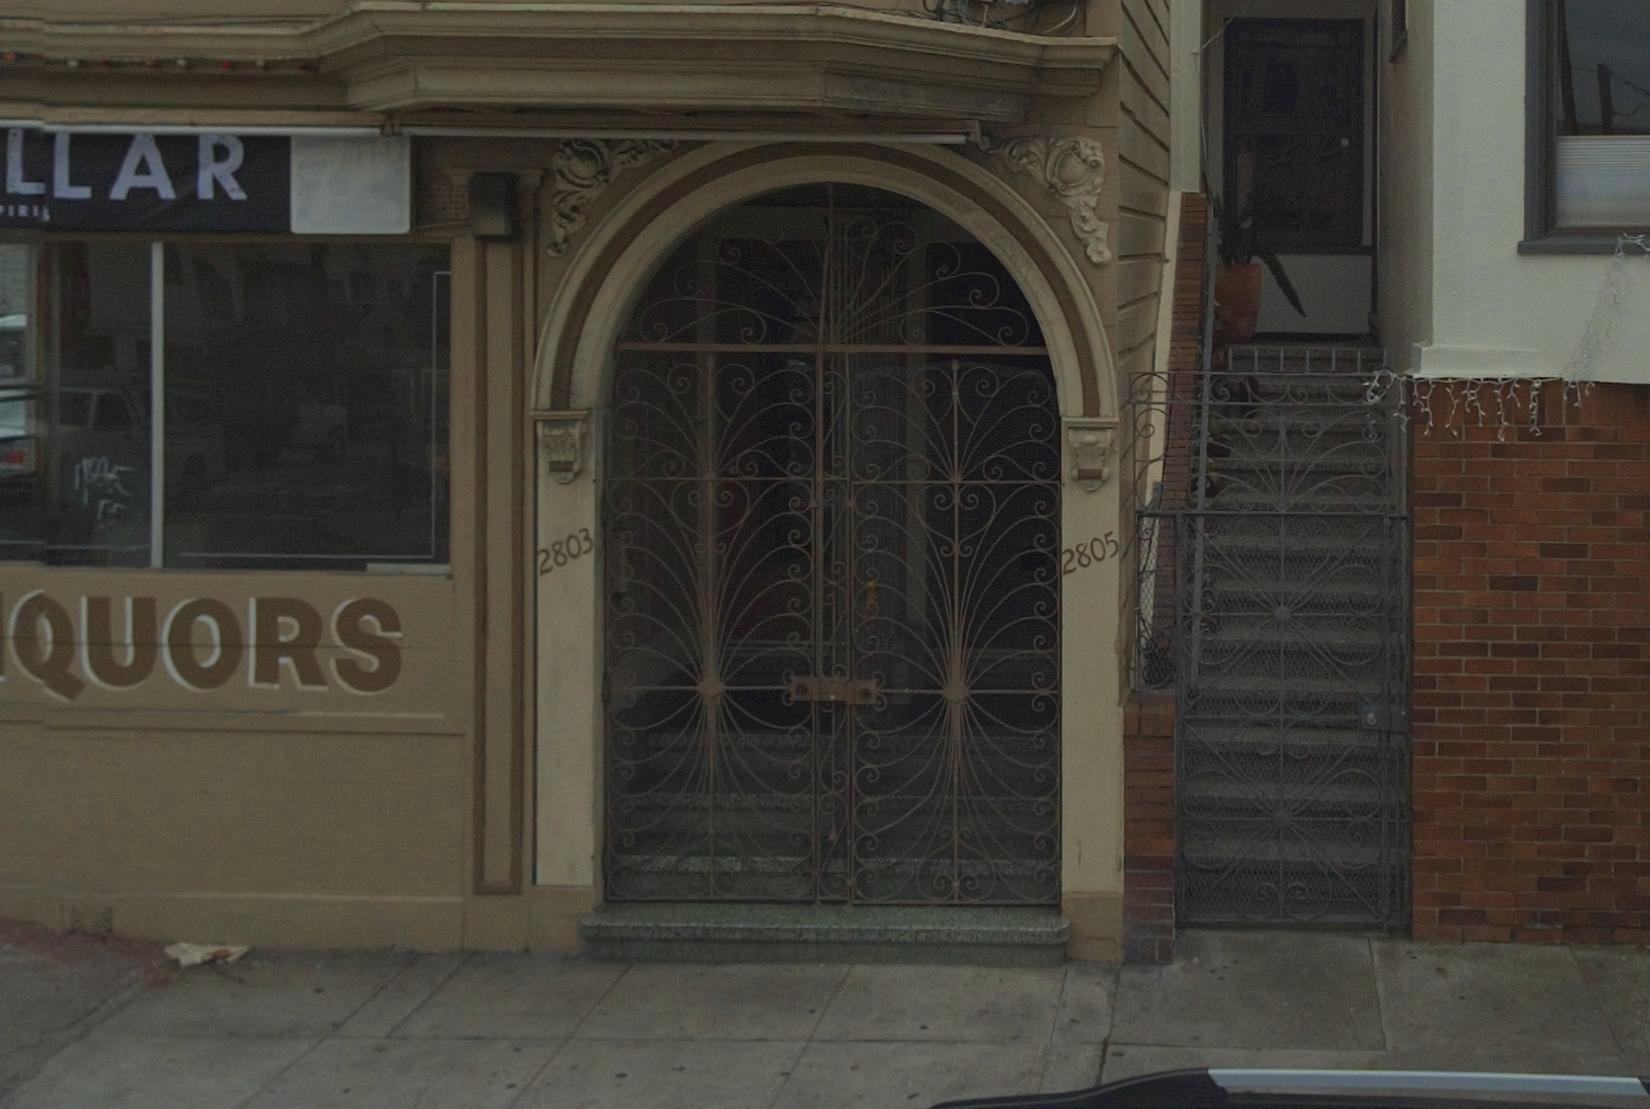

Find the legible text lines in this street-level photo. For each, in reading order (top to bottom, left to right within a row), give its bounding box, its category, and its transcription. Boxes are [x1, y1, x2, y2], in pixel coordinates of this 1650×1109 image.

[1, 123, 253, 205] BusinessName: LLAR
[532, 525, 597, 580] StreetNumber: 2803
[1061, 527, 1123, 578] StreetNumber: 2805
[5, 588, 407, 706] None: QUORS